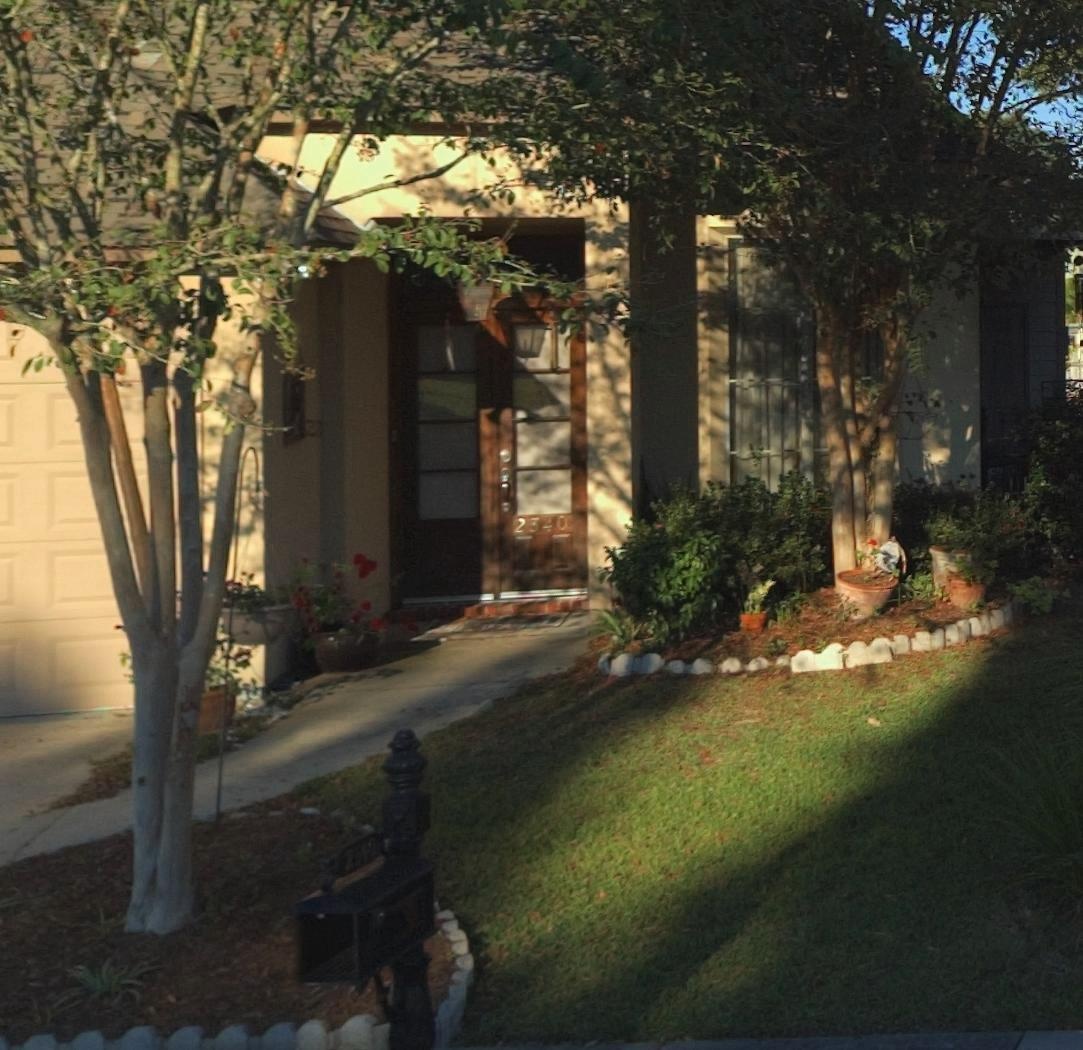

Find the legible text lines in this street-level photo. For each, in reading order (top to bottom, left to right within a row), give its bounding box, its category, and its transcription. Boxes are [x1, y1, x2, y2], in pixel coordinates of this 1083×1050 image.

[511, 513, 572, 535] StreetNumber: 2340